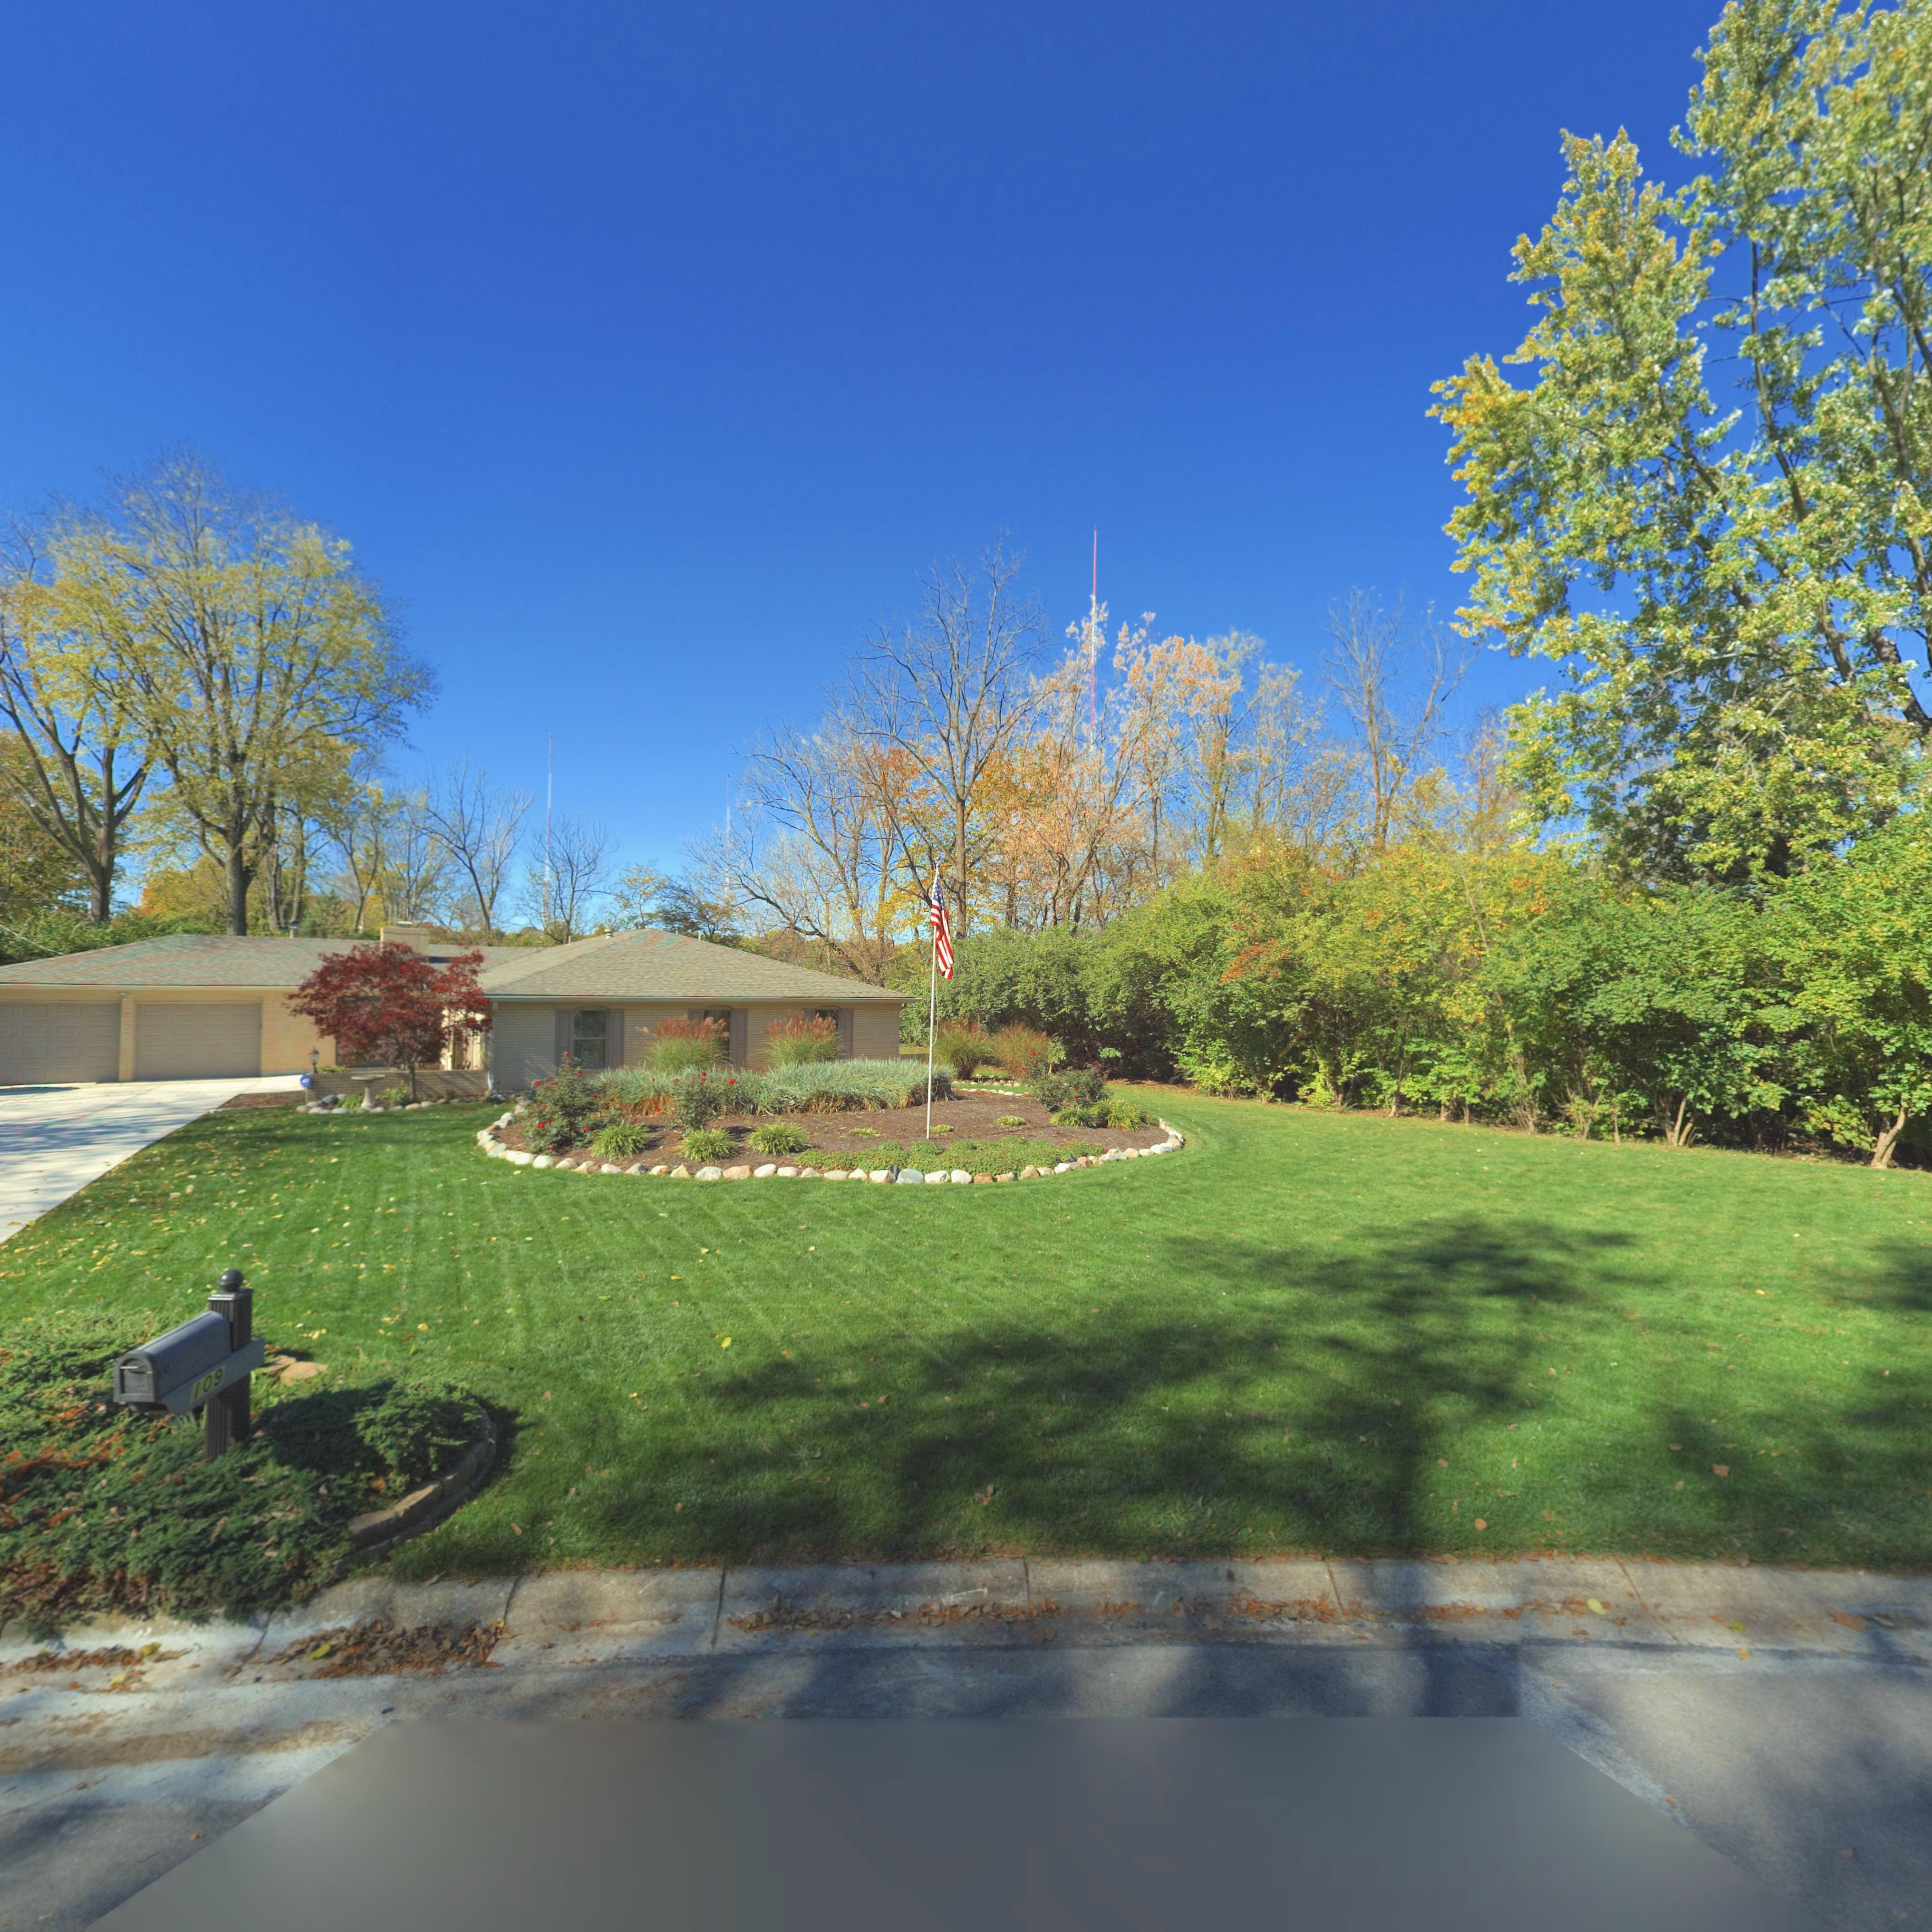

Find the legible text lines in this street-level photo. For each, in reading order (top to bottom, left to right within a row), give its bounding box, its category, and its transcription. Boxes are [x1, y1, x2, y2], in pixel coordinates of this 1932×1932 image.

[192, 1366, 223, 1402] StreetNumber: 109